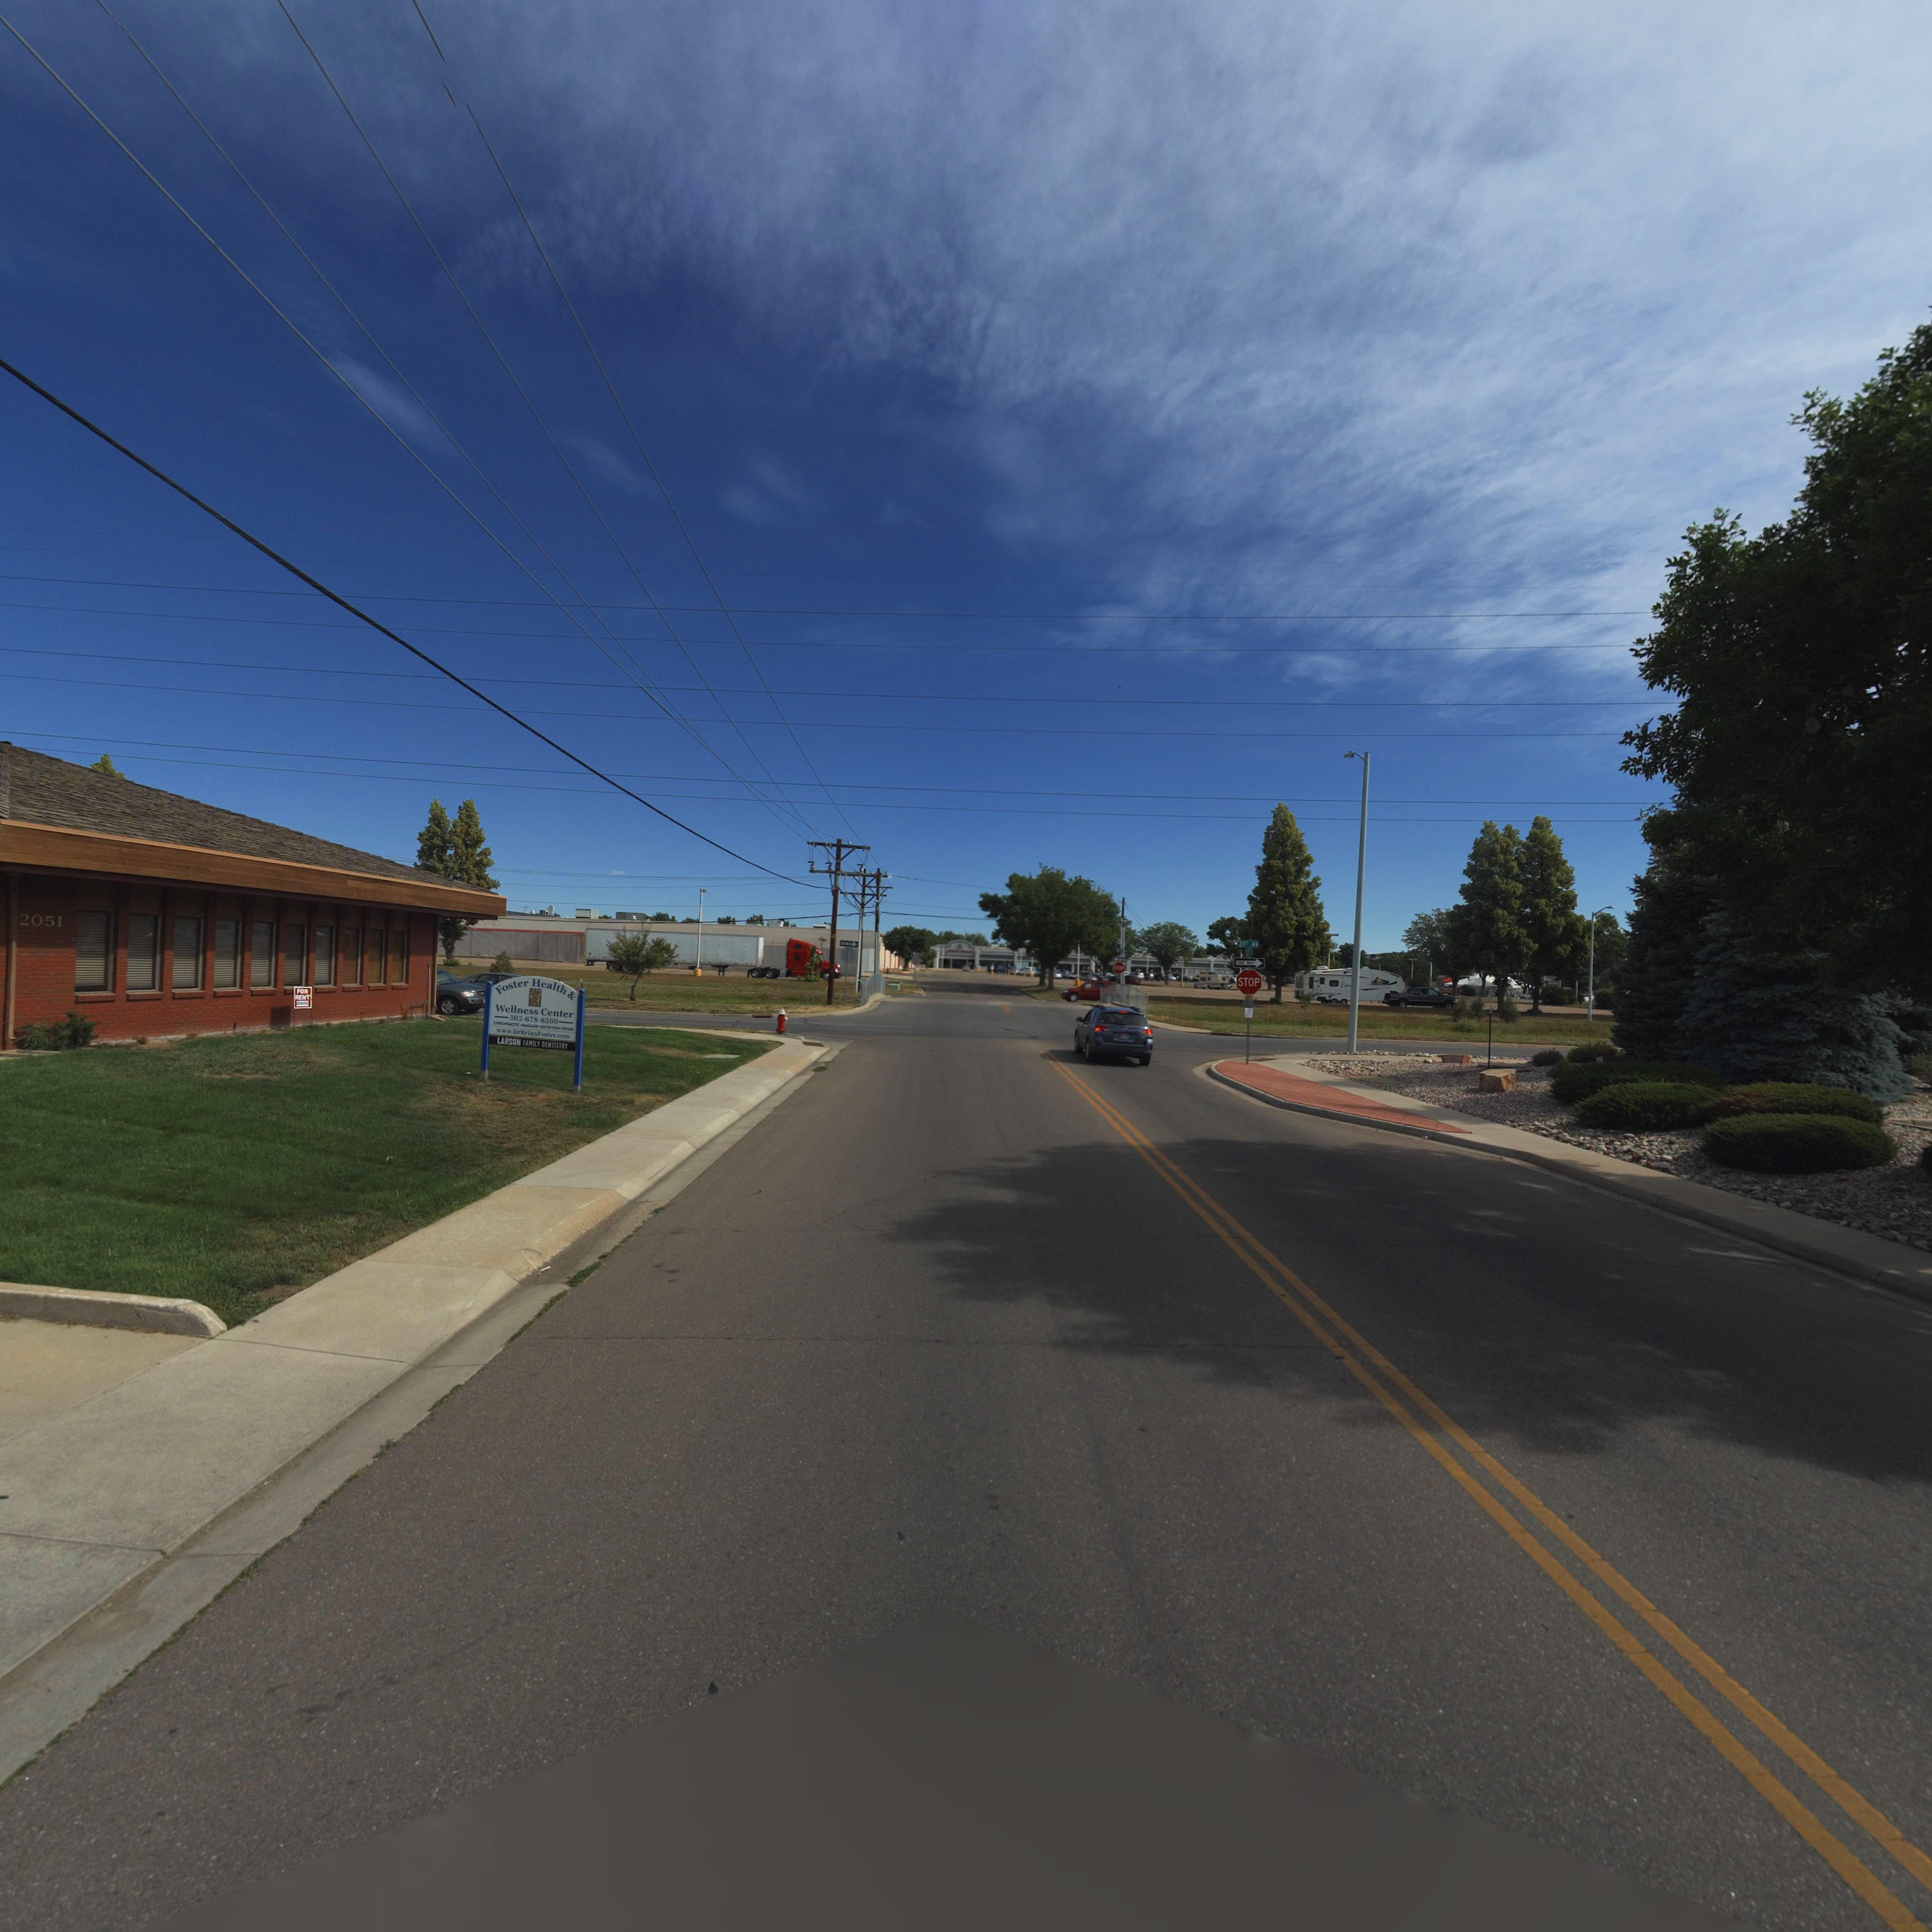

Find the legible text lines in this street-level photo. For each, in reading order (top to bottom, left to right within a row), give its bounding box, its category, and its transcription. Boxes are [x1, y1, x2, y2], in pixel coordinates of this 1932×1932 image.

[17, 912, 62, 928] StreetNumber: 2051
[1238, 941, 1259, 947] BusinessName: 21** AV
[494, 978, 577, 1002] BusinessName: Foster Health &
[495, 1004, 574, 1018] BusinessName: Wellness Center
[497, 1036, 569, 1049] BusinessName: LARSON FAMILY DENTISTRY